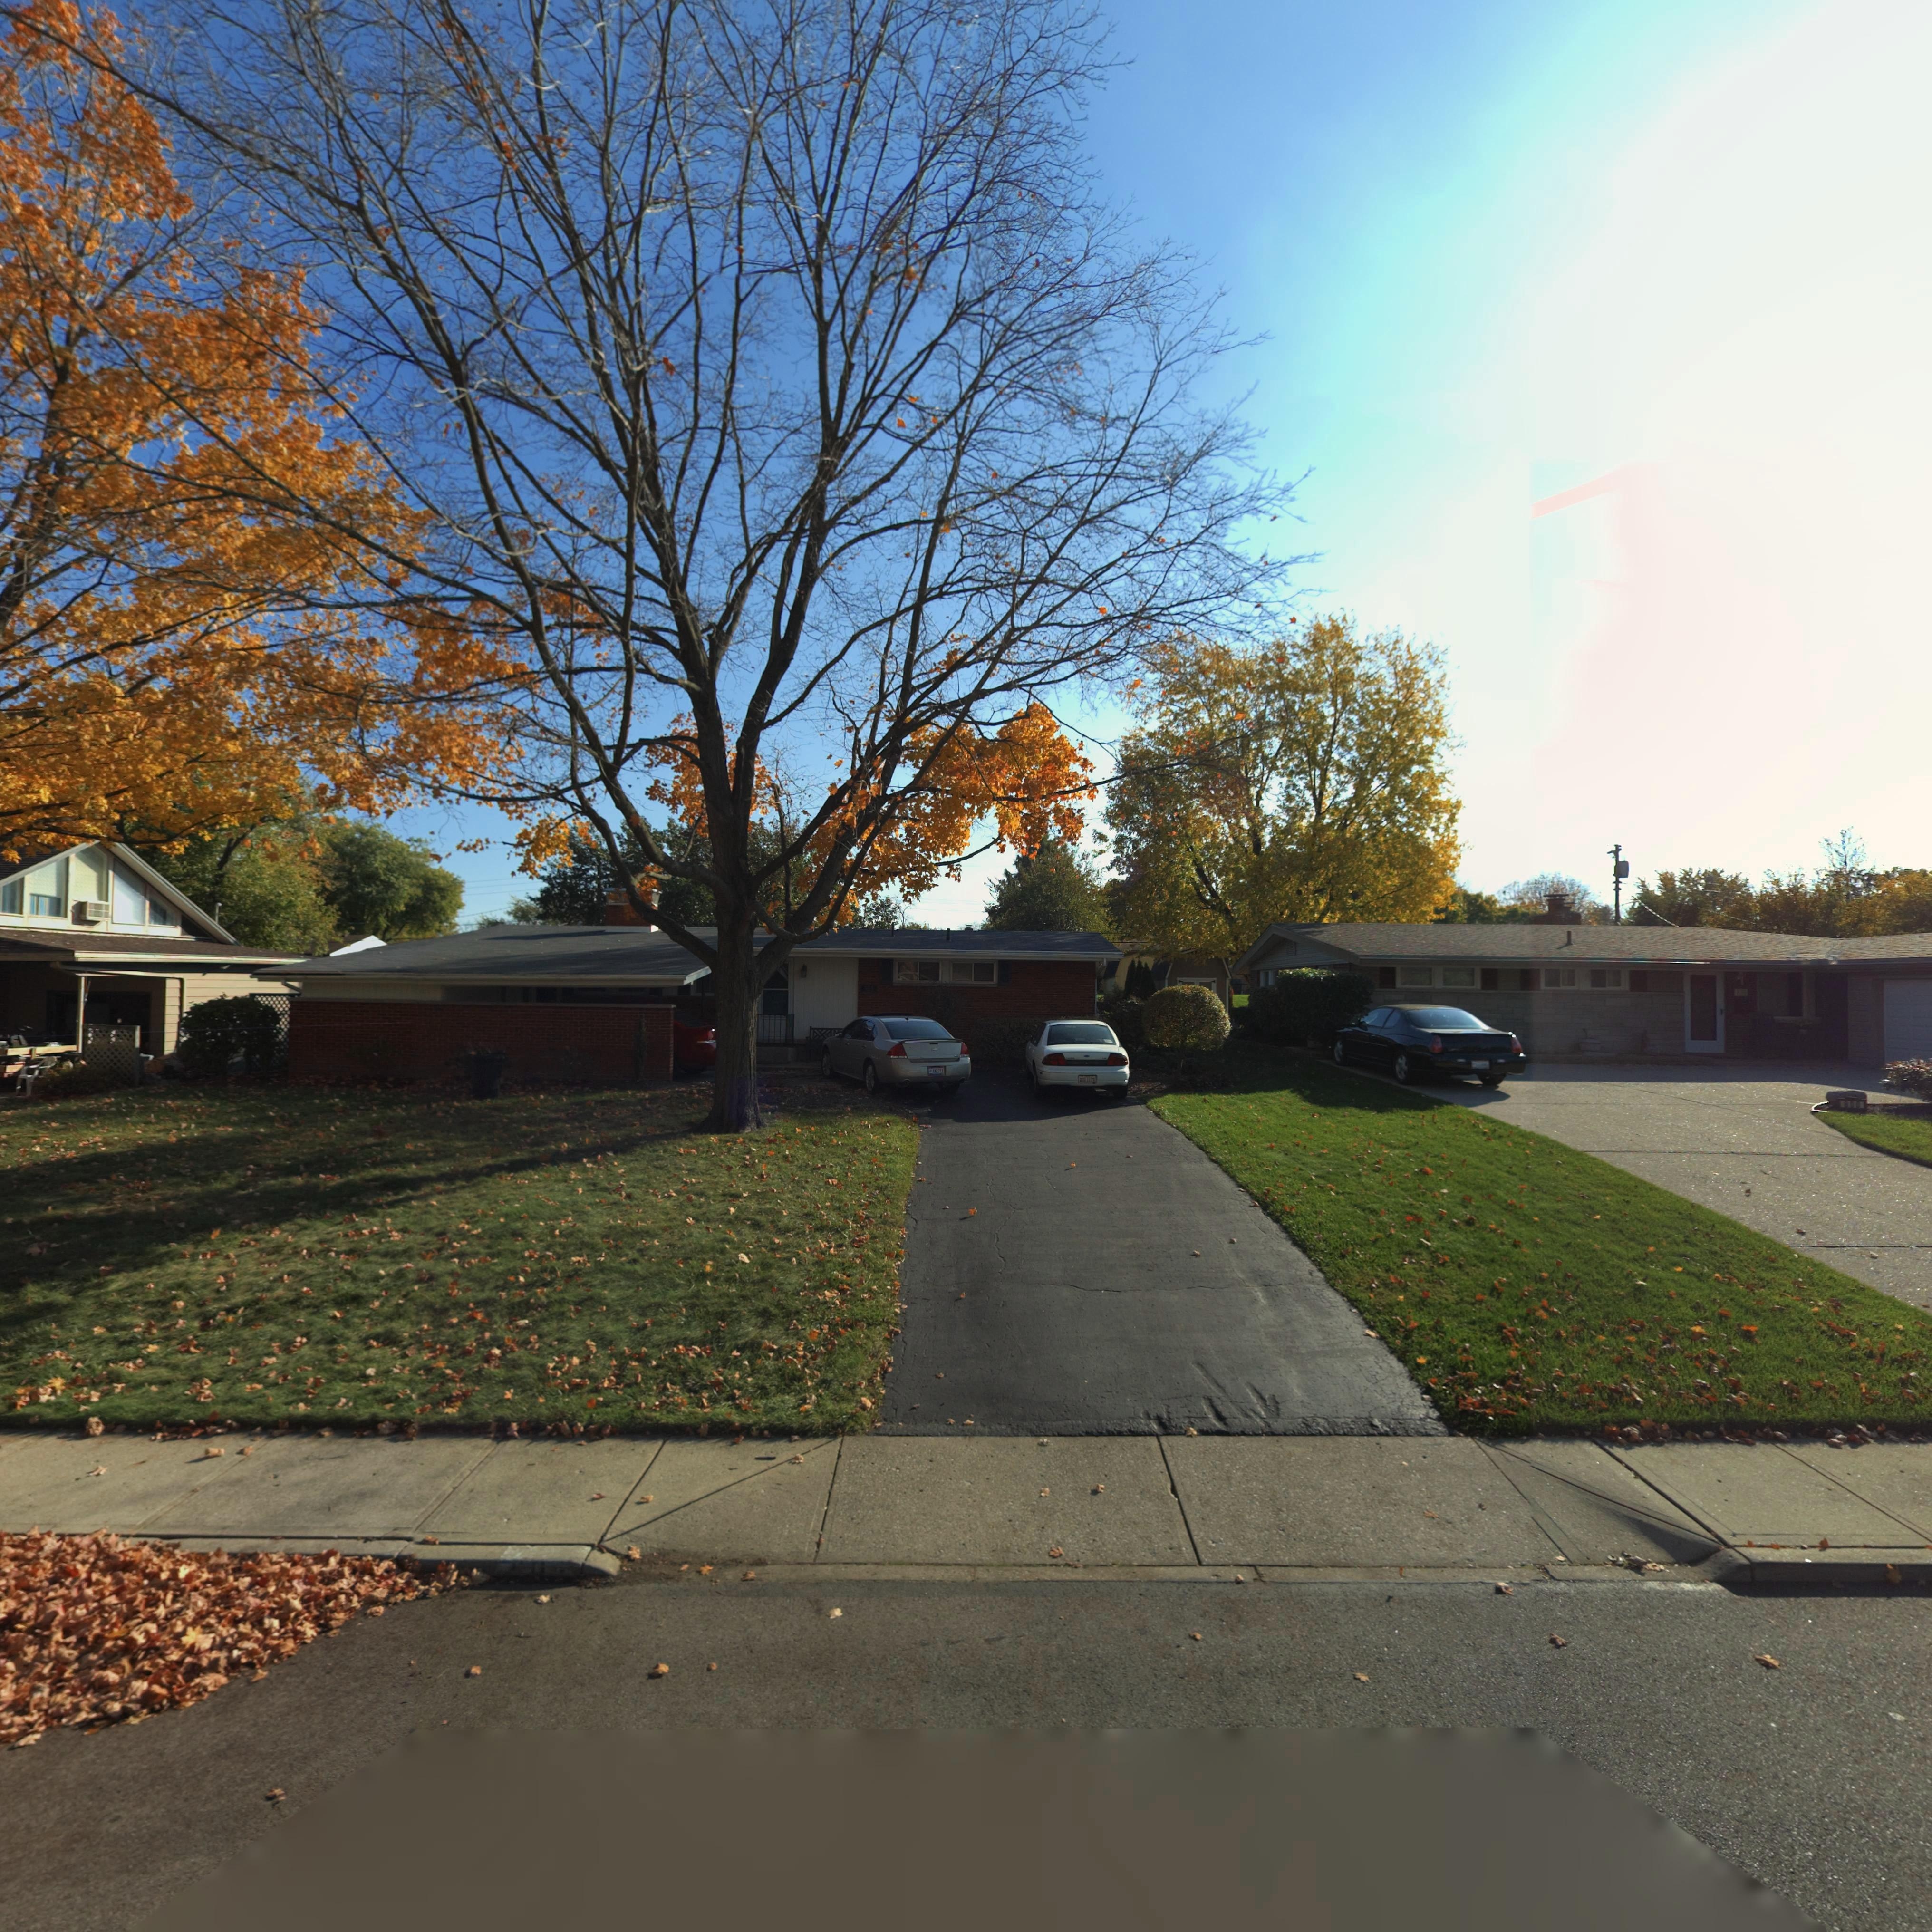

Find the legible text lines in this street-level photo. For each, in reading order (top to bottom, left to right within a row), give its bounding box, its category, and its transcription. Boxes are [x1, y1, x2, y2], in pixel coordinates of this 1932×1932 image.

[1843, 1100, 1862, 1109] StreetNumber: 800